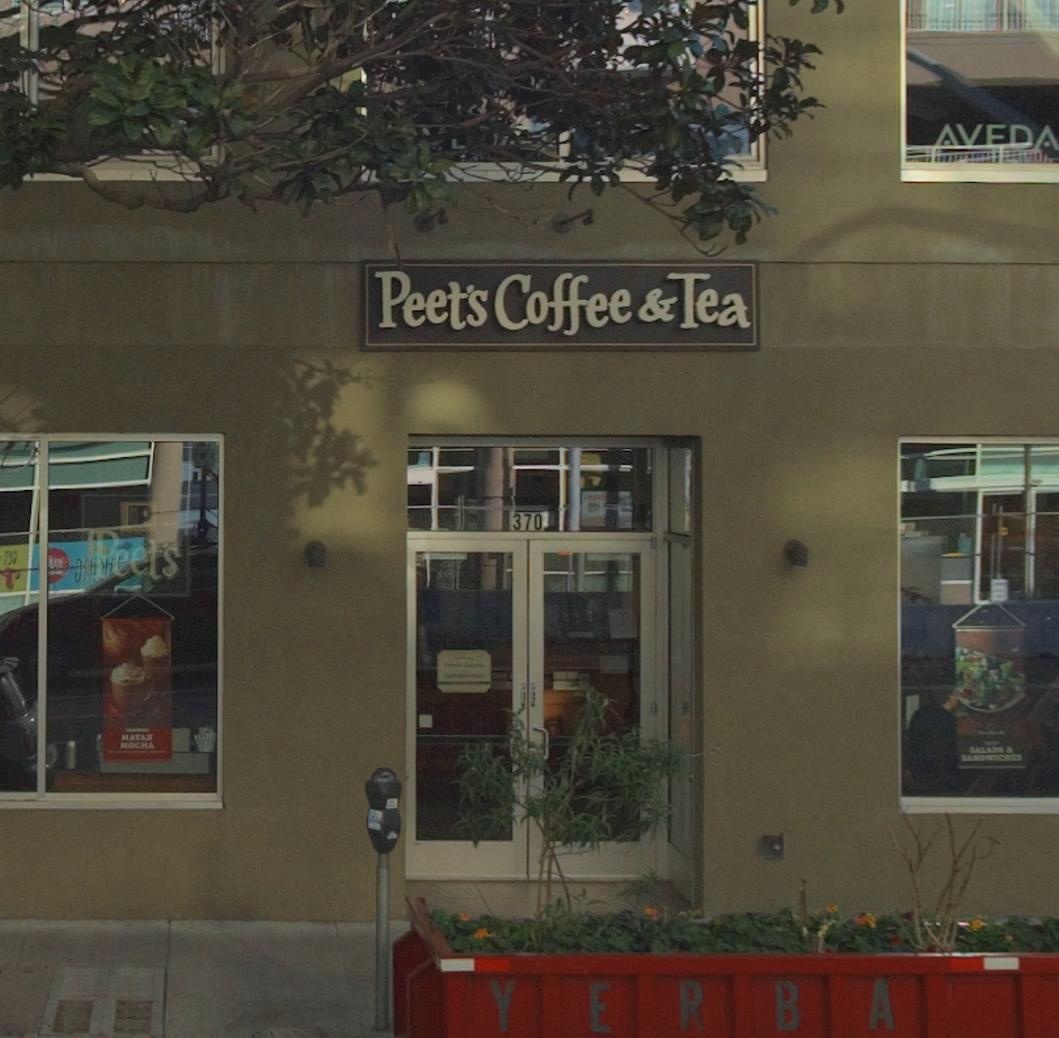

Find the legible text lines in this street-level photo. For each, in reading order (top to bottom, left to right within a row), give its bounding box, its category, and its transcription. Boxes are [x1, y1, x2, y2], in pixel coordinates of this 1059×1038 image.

[931, 122, 1059, 152] None: AVEDA
[372, 268, 753, 338] BusinessName: Peet's Coffee & Tea
[511, 512, 543, 531] StreetNumber: 370
[94, 526, 180, 582] BusinessName: Peet's
[120, 733, 154, 742] None: MATAN
[119, 739, 156, 750] None: MOCHA
[967, 745, 1006, 754] None: SALADS
[961, 754, 1023, 763] None: SANDWICHES
[486, 978, 900, 1033] None: YERBA